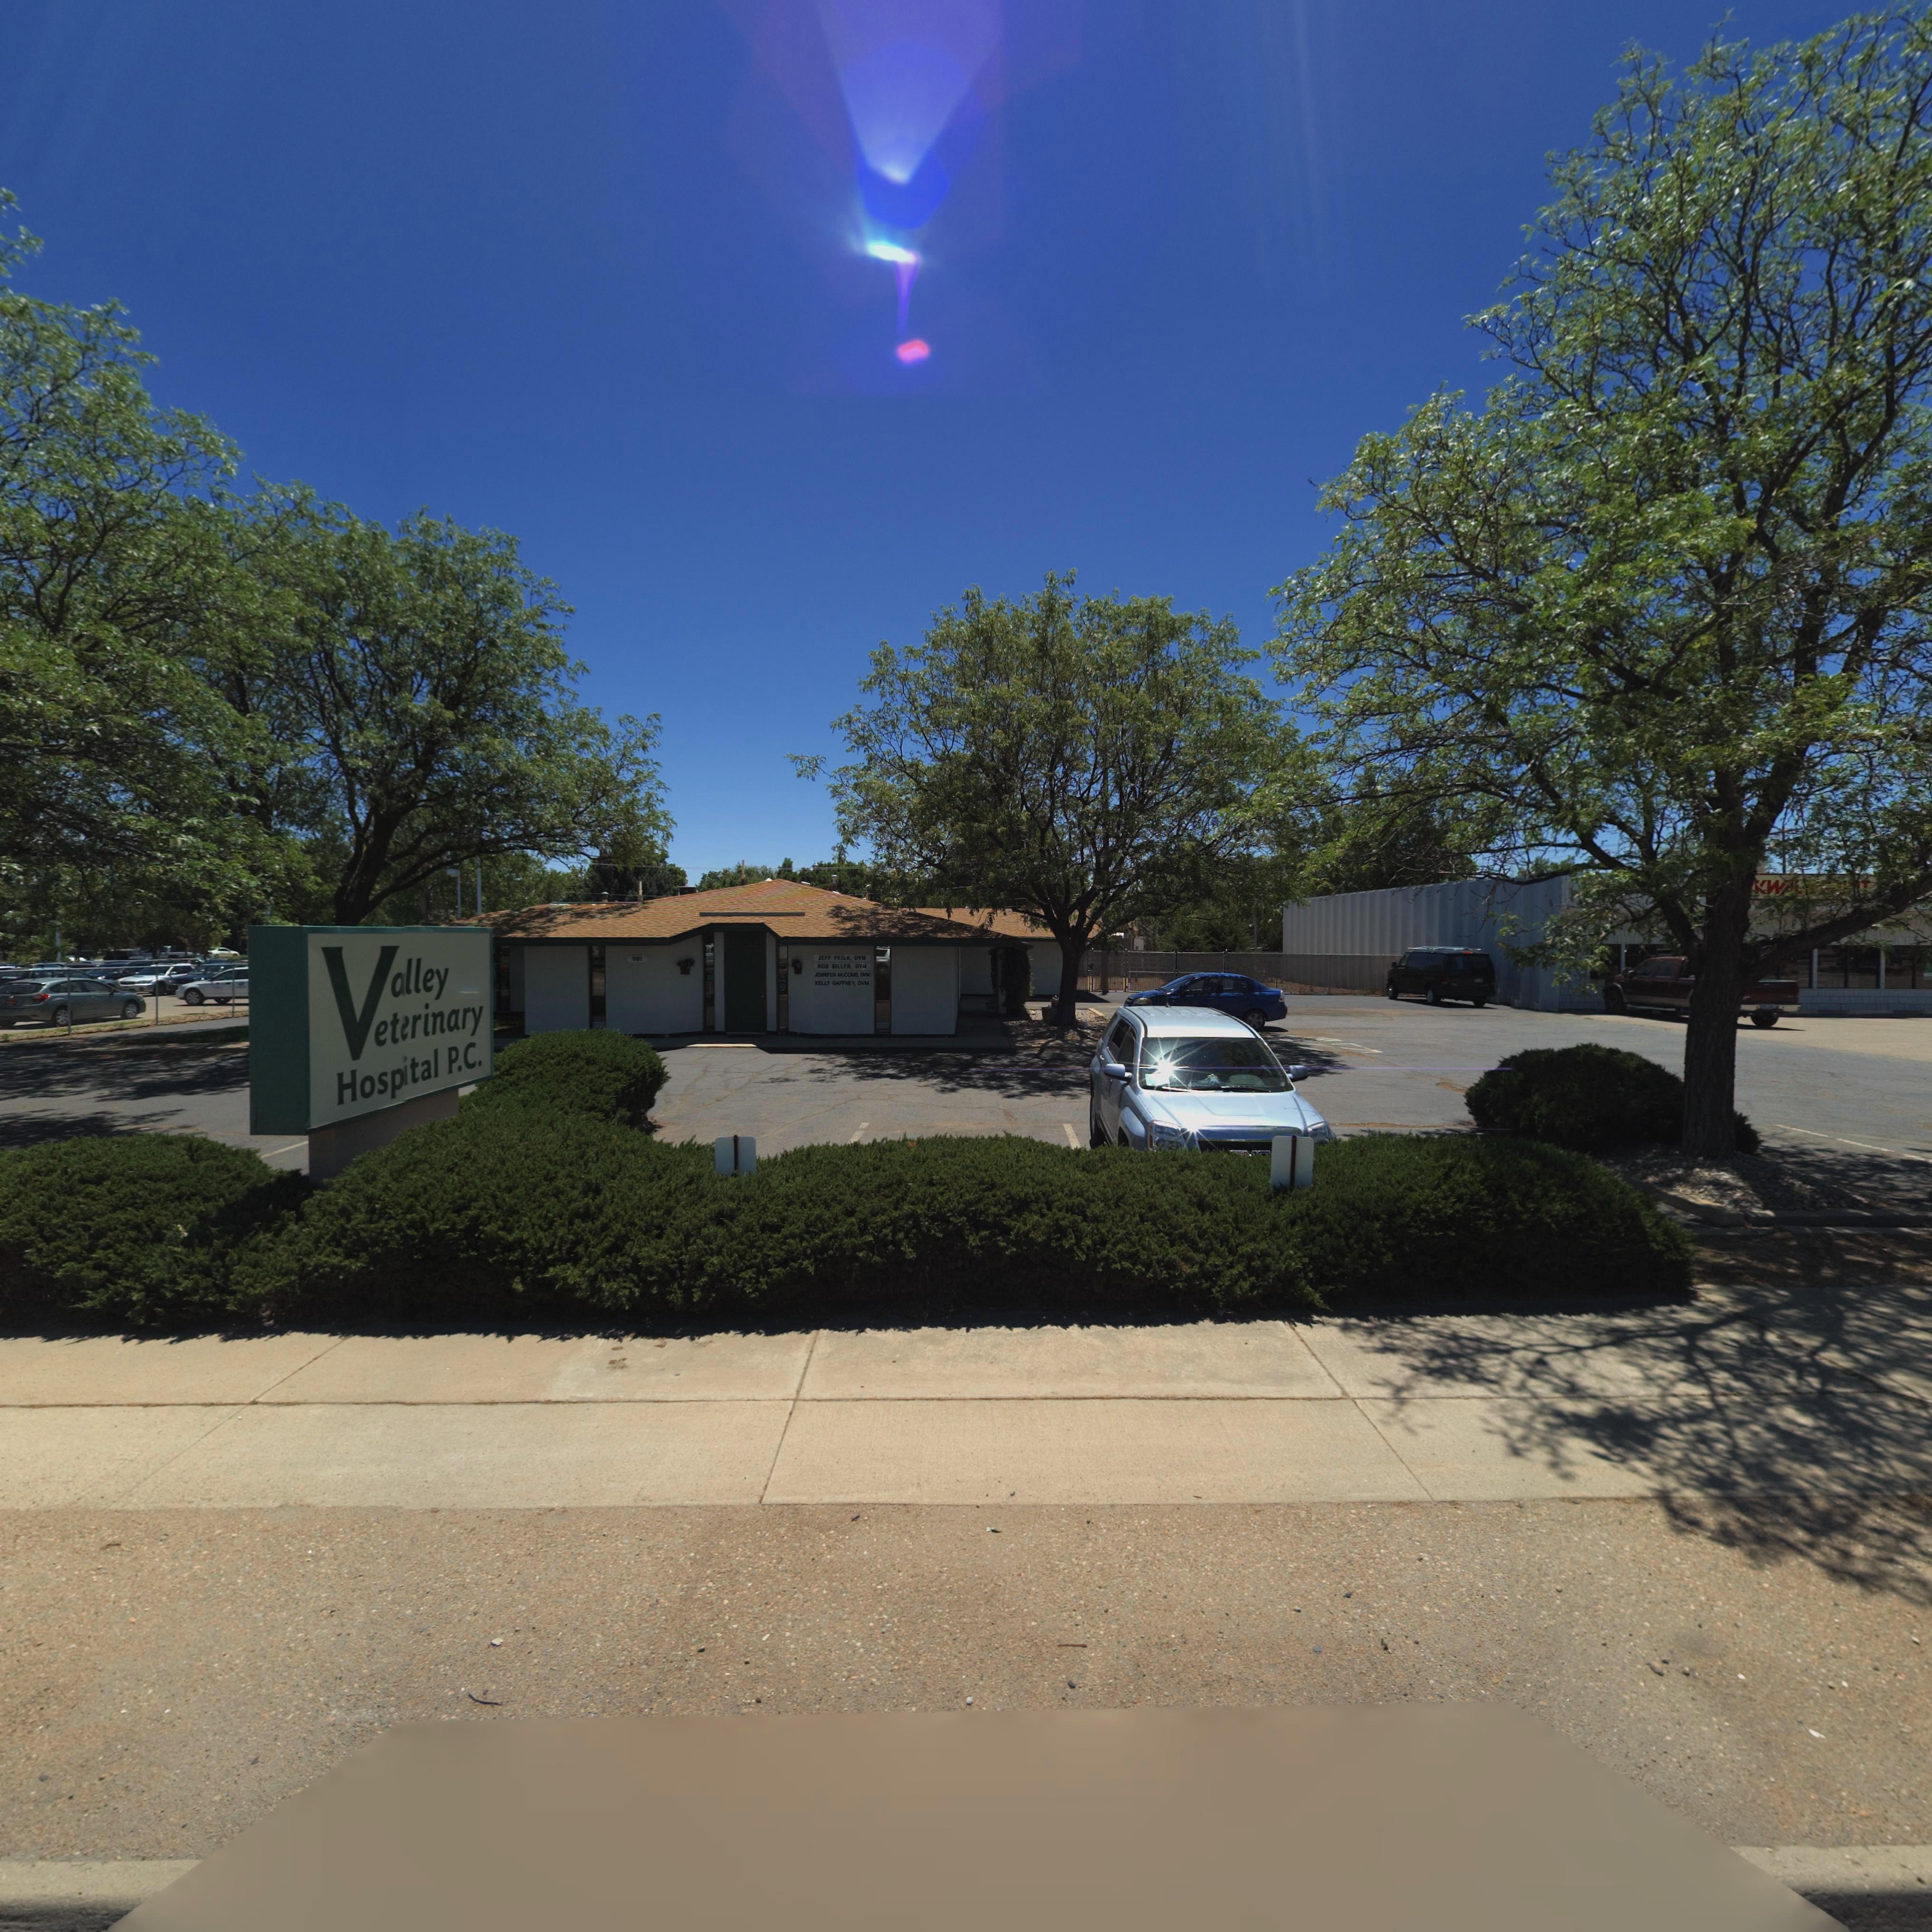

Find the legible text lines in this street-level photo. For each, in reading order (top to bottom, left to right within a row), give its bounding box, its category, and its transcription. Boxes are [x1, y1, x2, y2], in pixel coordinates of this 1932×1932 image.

[319, 943, 402, 1063] BusinessName: V
[389, 956, 449, 1001] BusinessName: alley
[373, 1001, 484, 1048] BusinessName: eterinary
[335, 1040, 483, 1107] BusinessName: Hospital P.C.